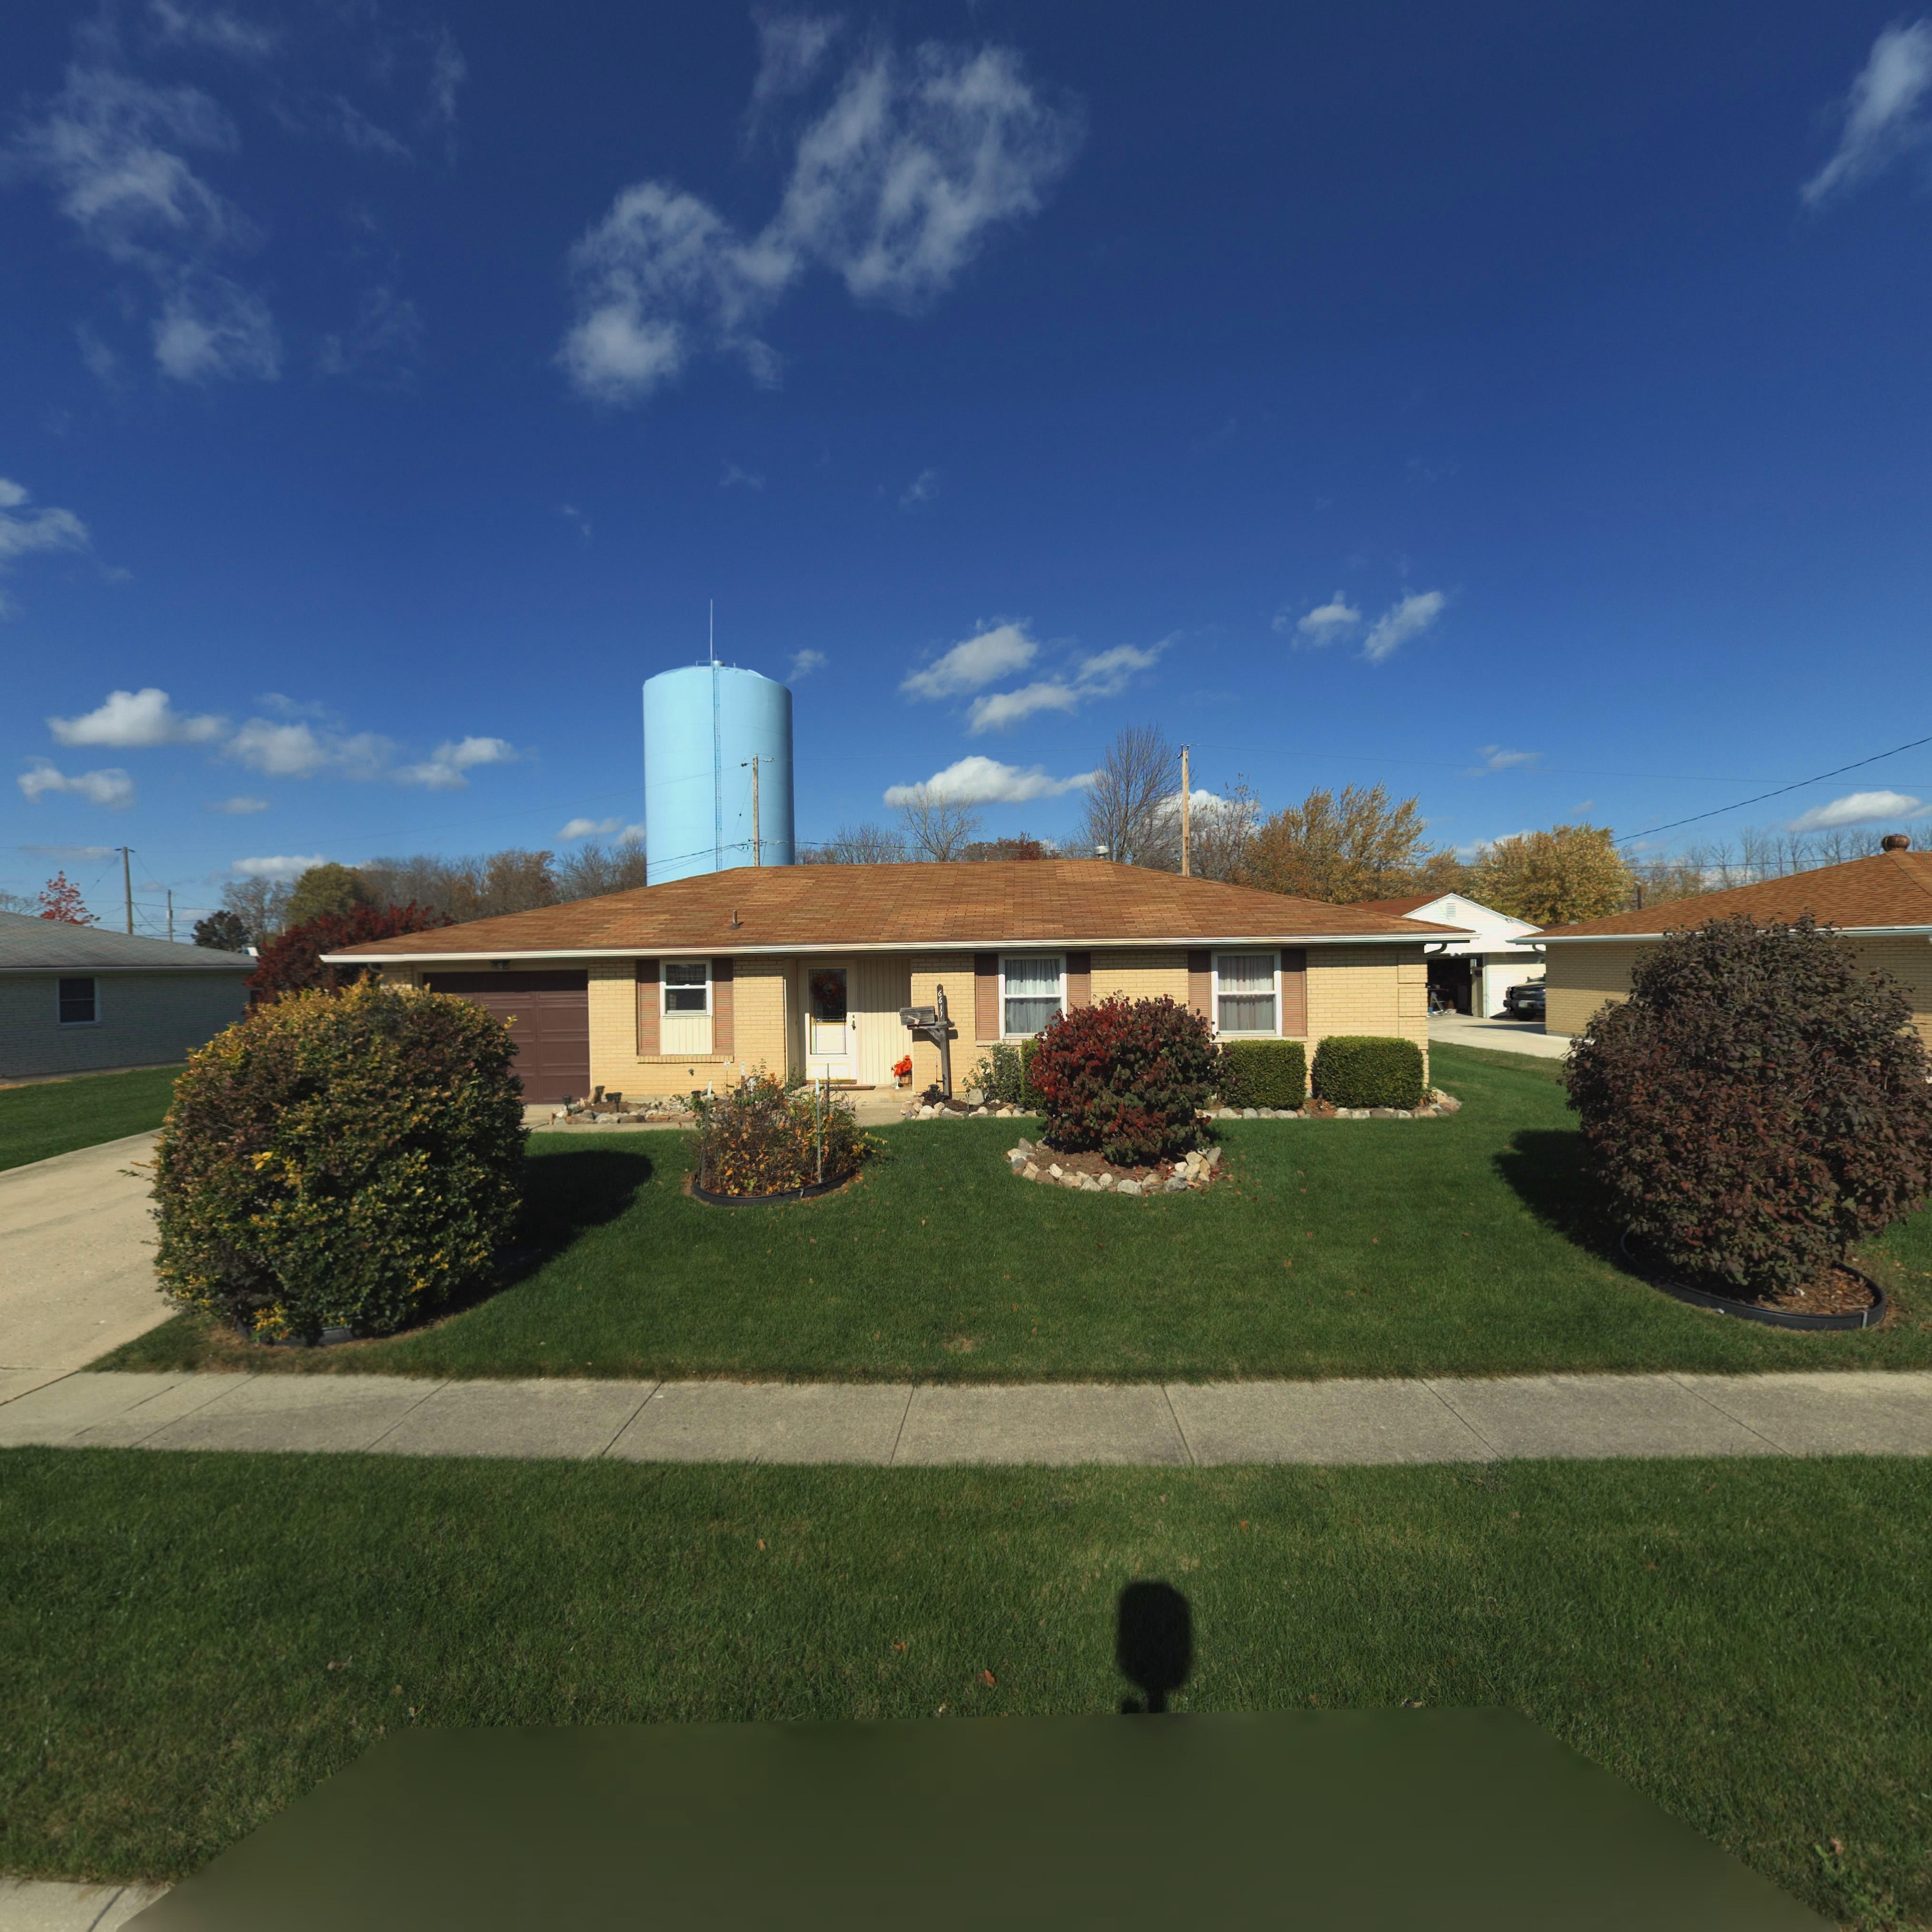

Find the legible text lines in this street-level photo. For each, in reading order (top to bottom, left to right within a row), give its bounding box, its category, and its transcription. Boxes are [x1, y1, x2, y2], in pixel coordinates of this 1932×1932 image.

[937, 989, 943, 1018] StreetNumber: 6611